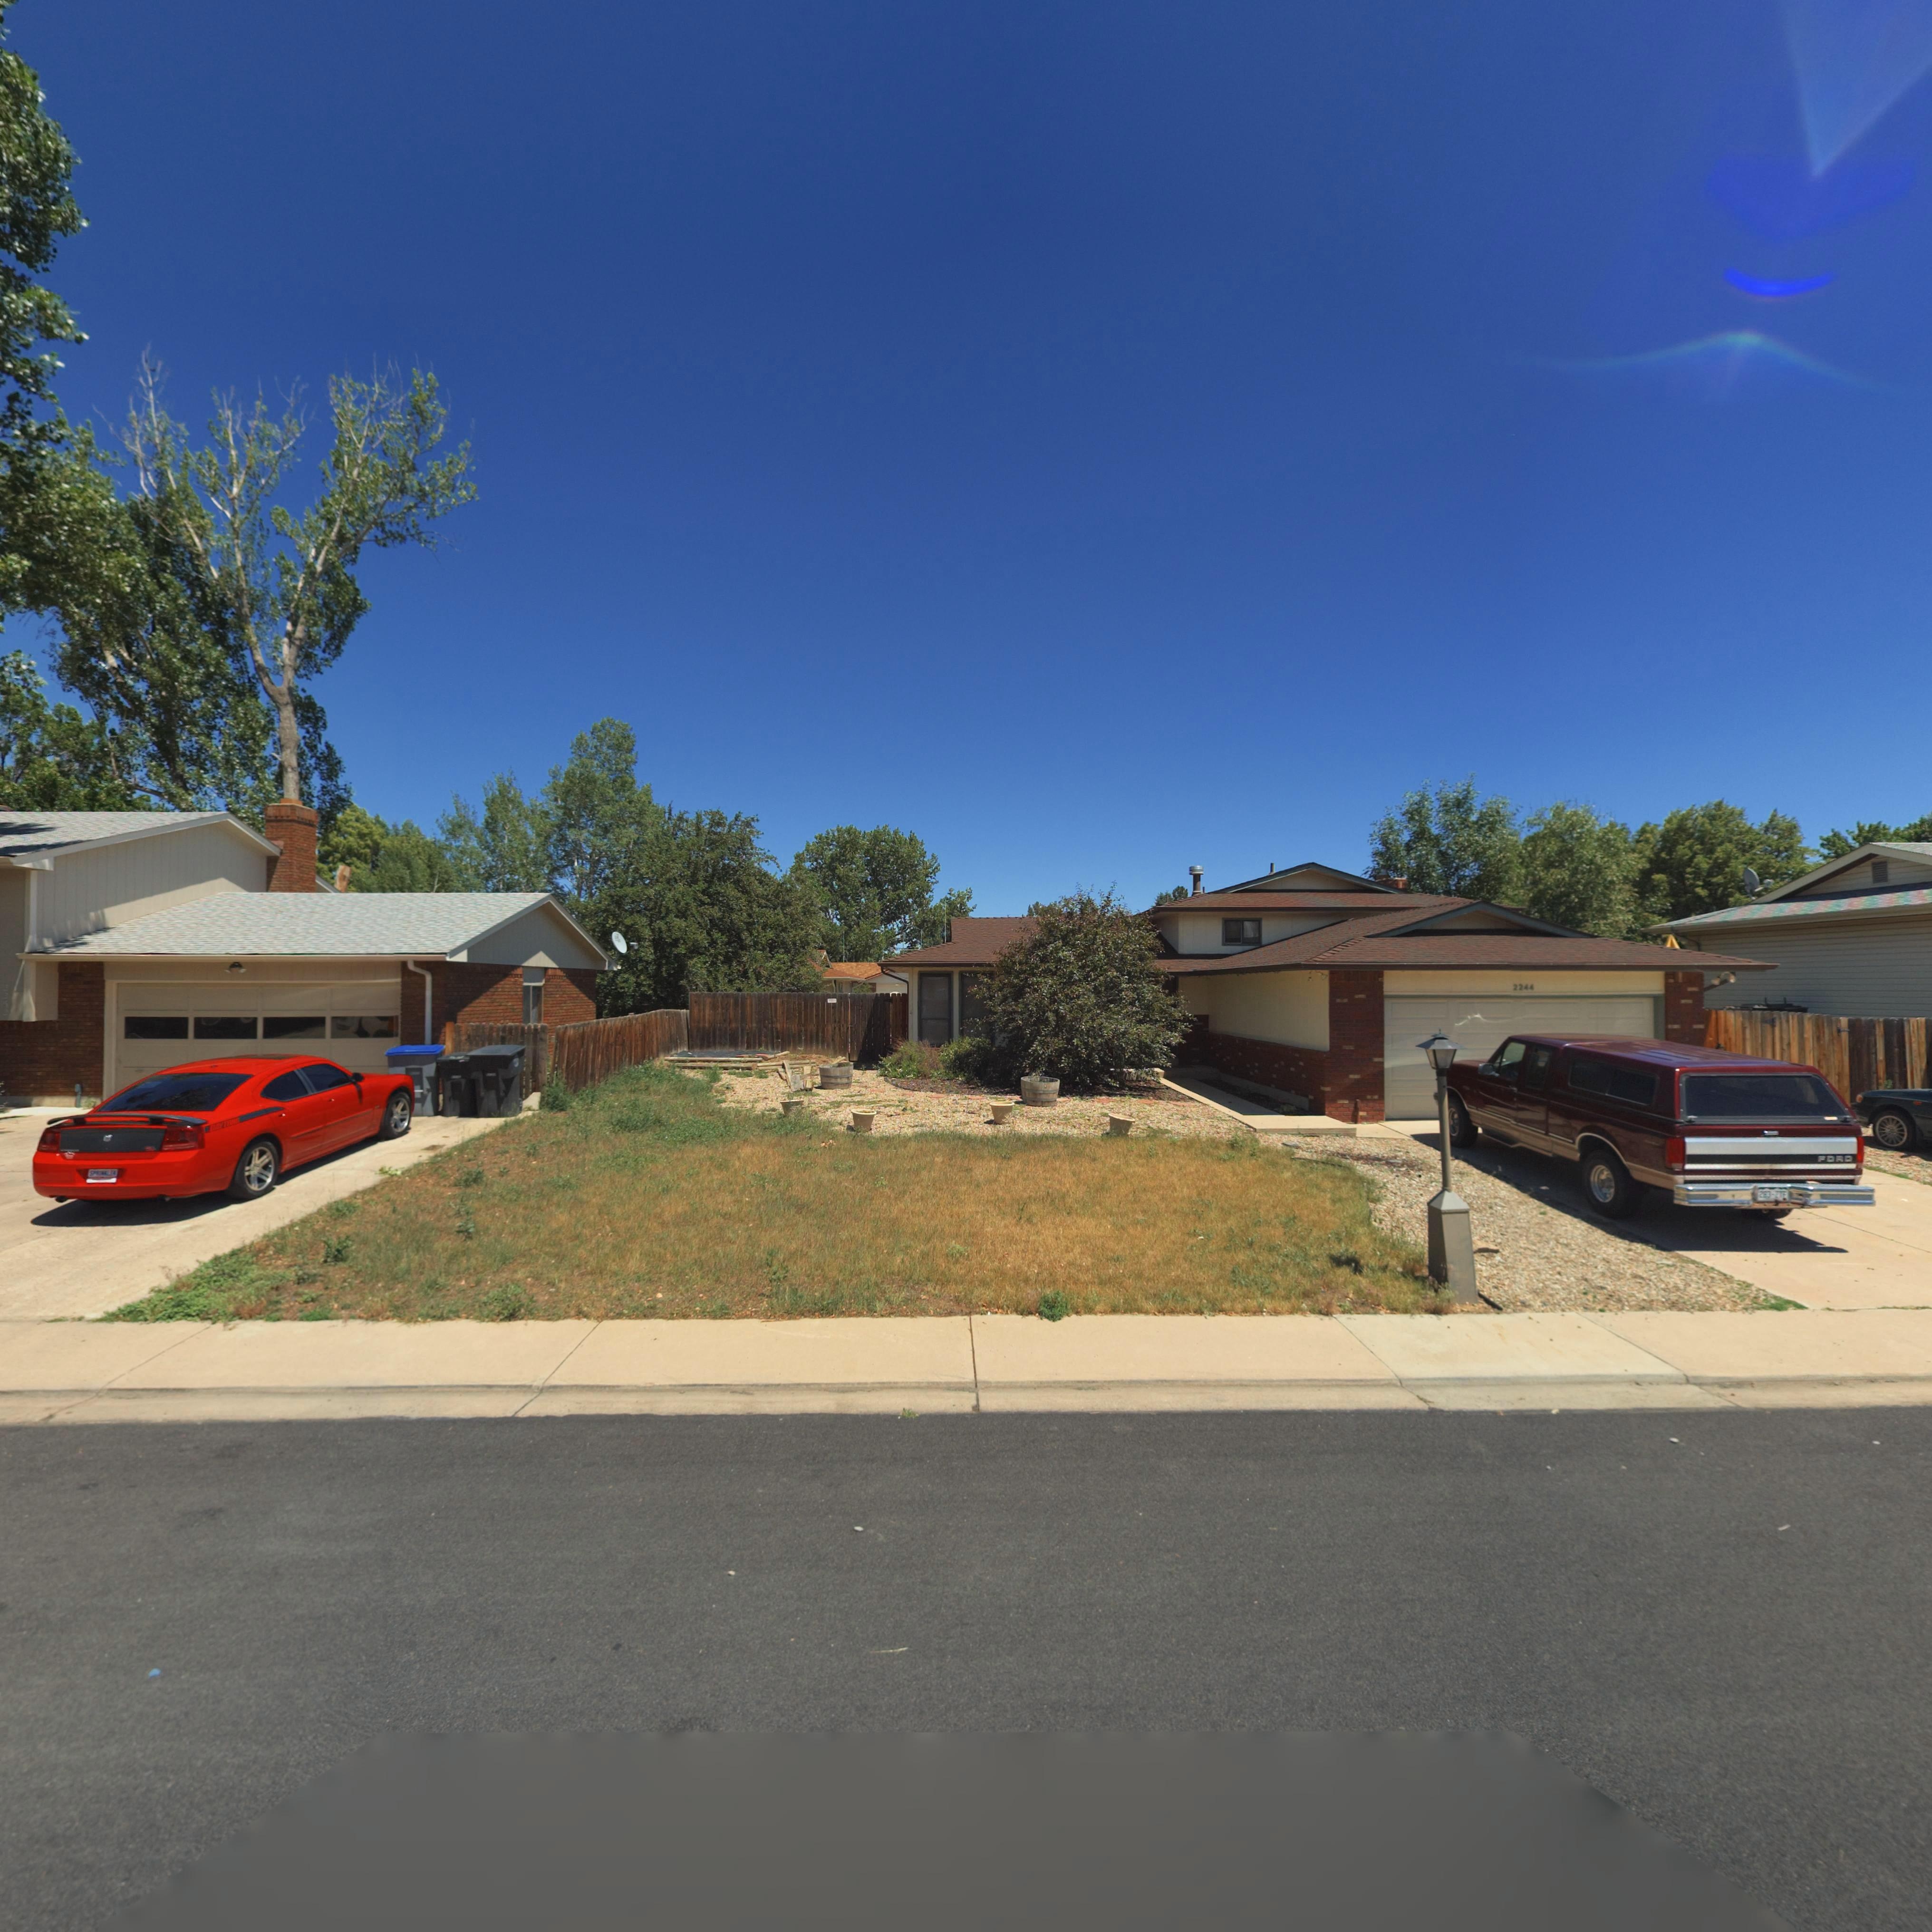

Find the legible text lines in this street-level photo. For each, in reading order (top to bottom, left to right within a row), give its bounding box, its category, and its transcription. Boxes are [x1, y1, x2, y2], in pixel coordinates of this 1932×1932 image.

[1513, 983, 1534, 991] StreetNumber: 2244